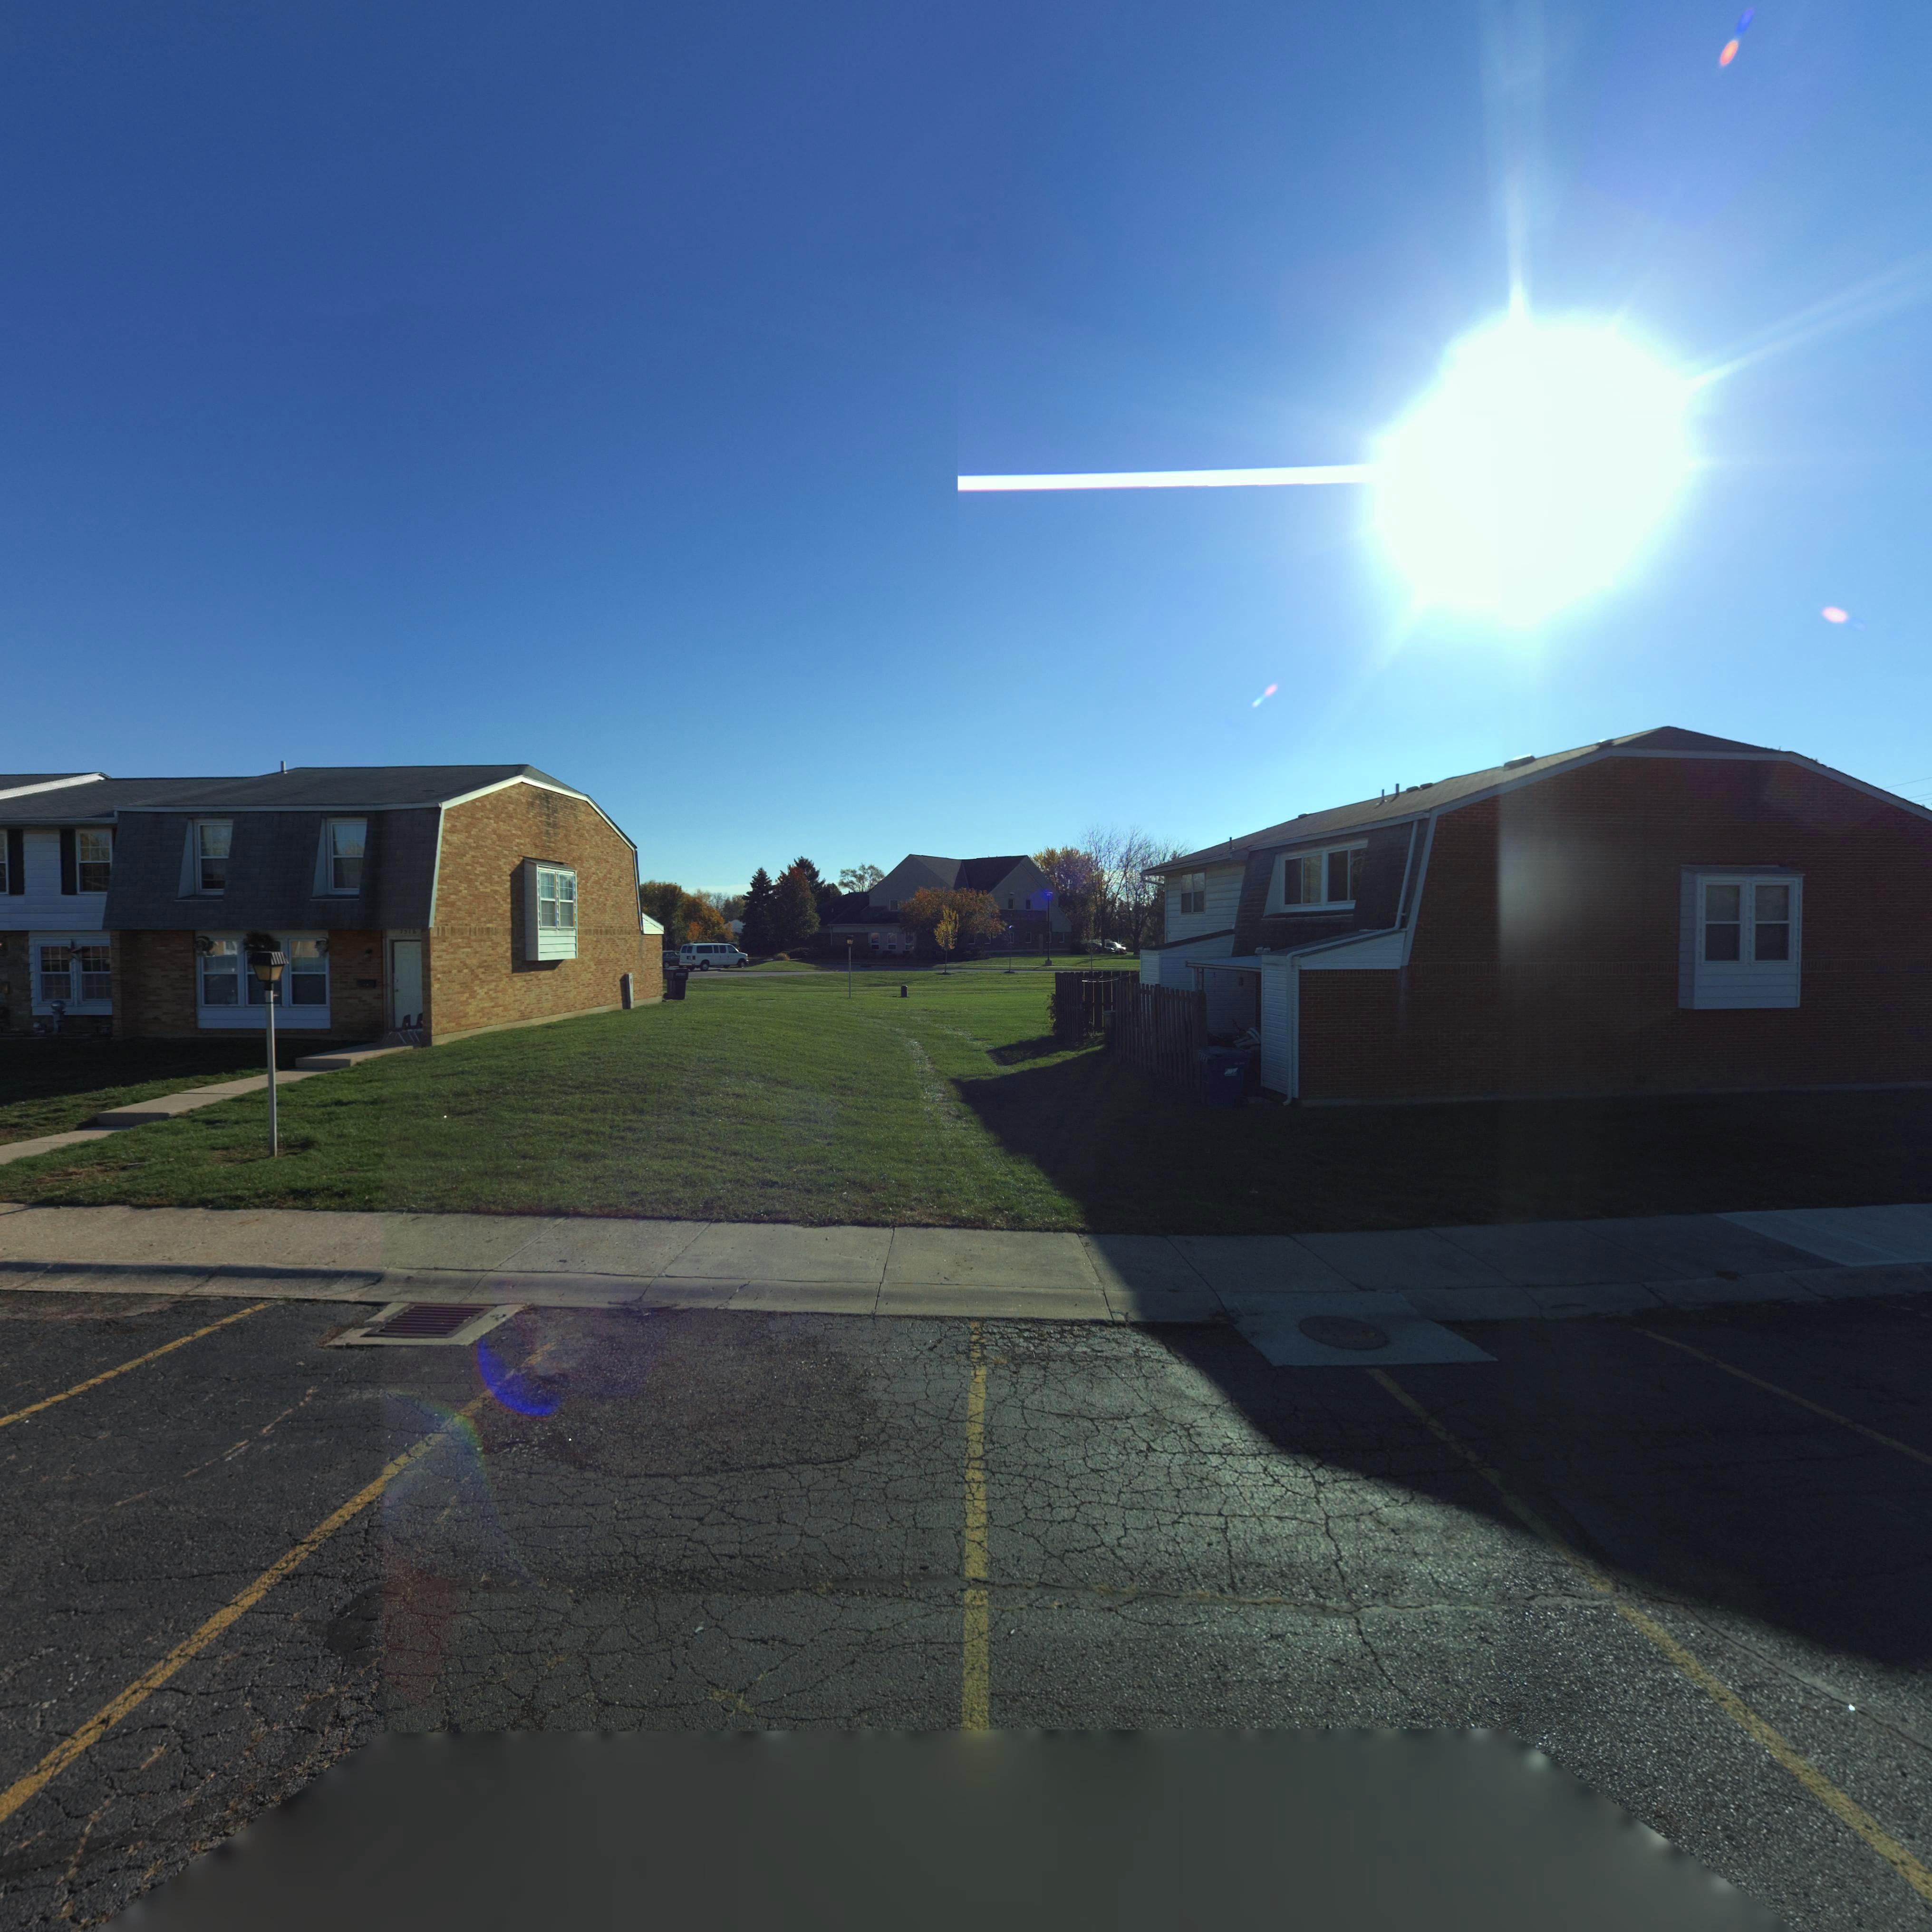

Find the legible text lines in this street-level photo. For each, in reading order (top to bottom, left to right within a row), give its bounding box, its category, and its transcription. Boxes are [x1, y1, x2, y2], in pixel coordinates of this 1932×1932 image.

[399, 928, 417, 934] StreetNumber: 7516